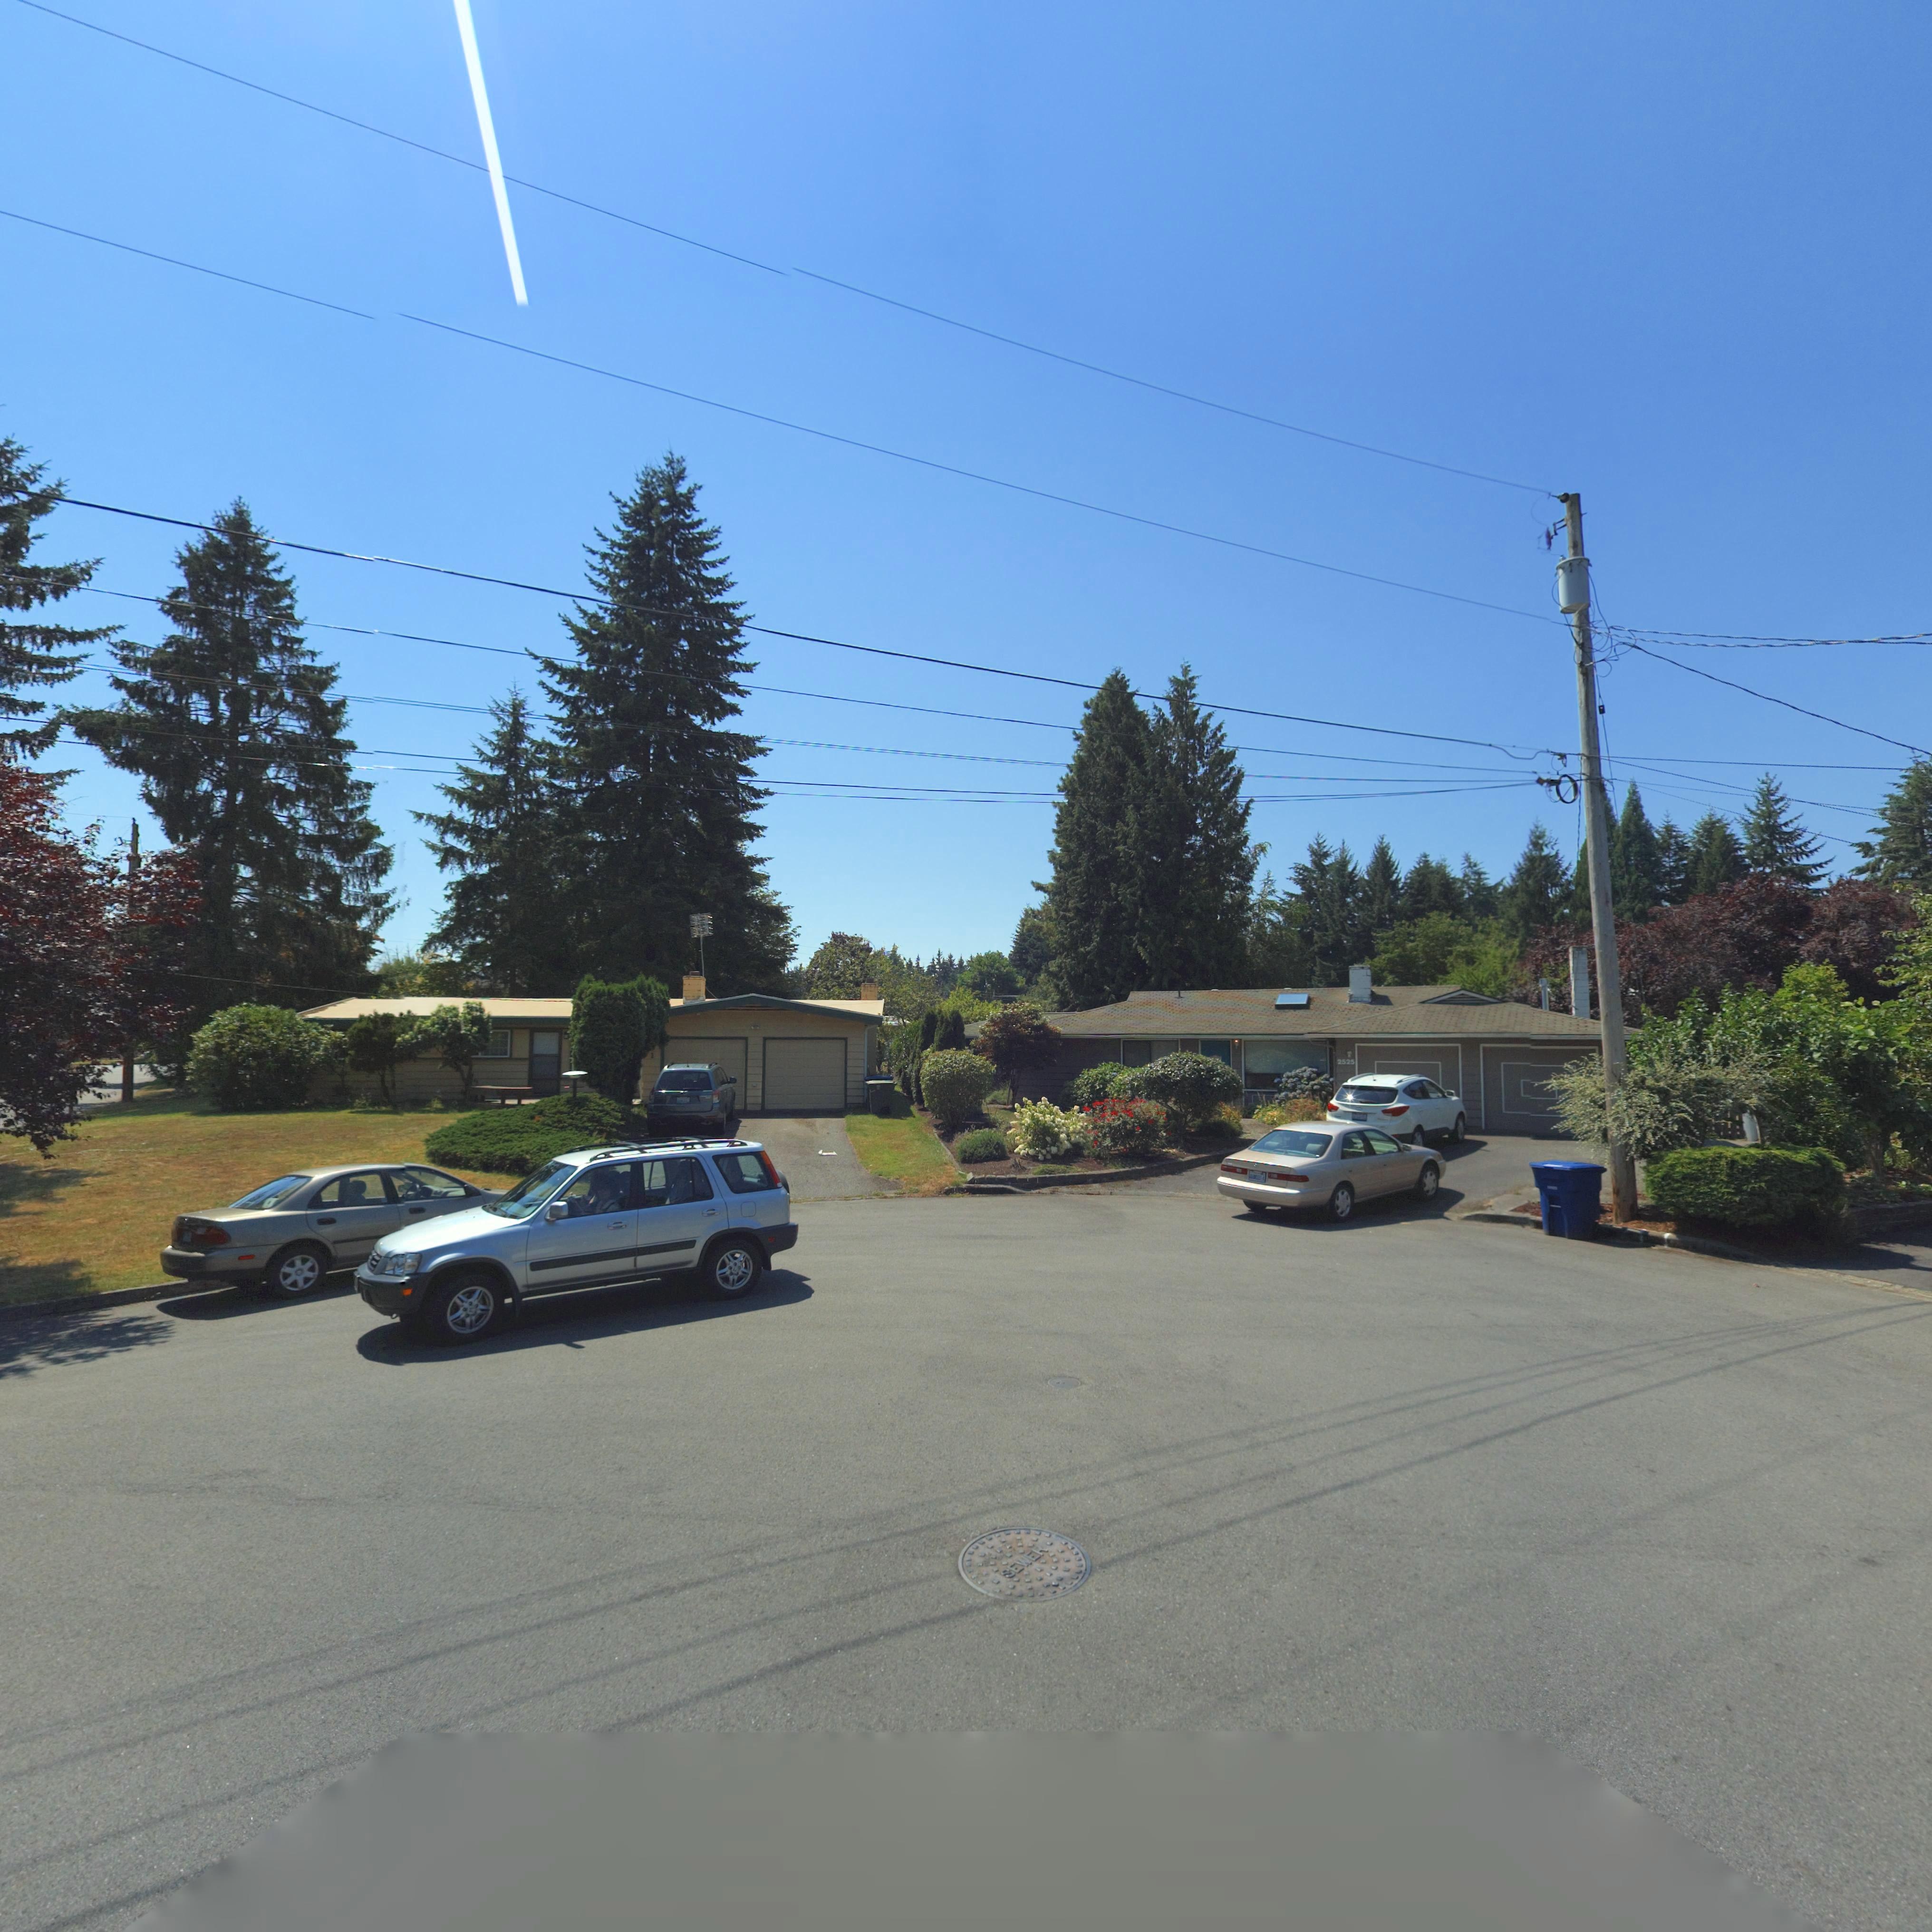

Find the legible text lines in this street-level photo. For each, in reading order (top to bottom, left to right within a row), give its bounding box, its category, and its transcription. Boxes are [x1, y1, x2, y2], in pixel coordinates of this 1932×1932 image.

[1336, 1059, 1354, 1064] StreetNumber: 2525